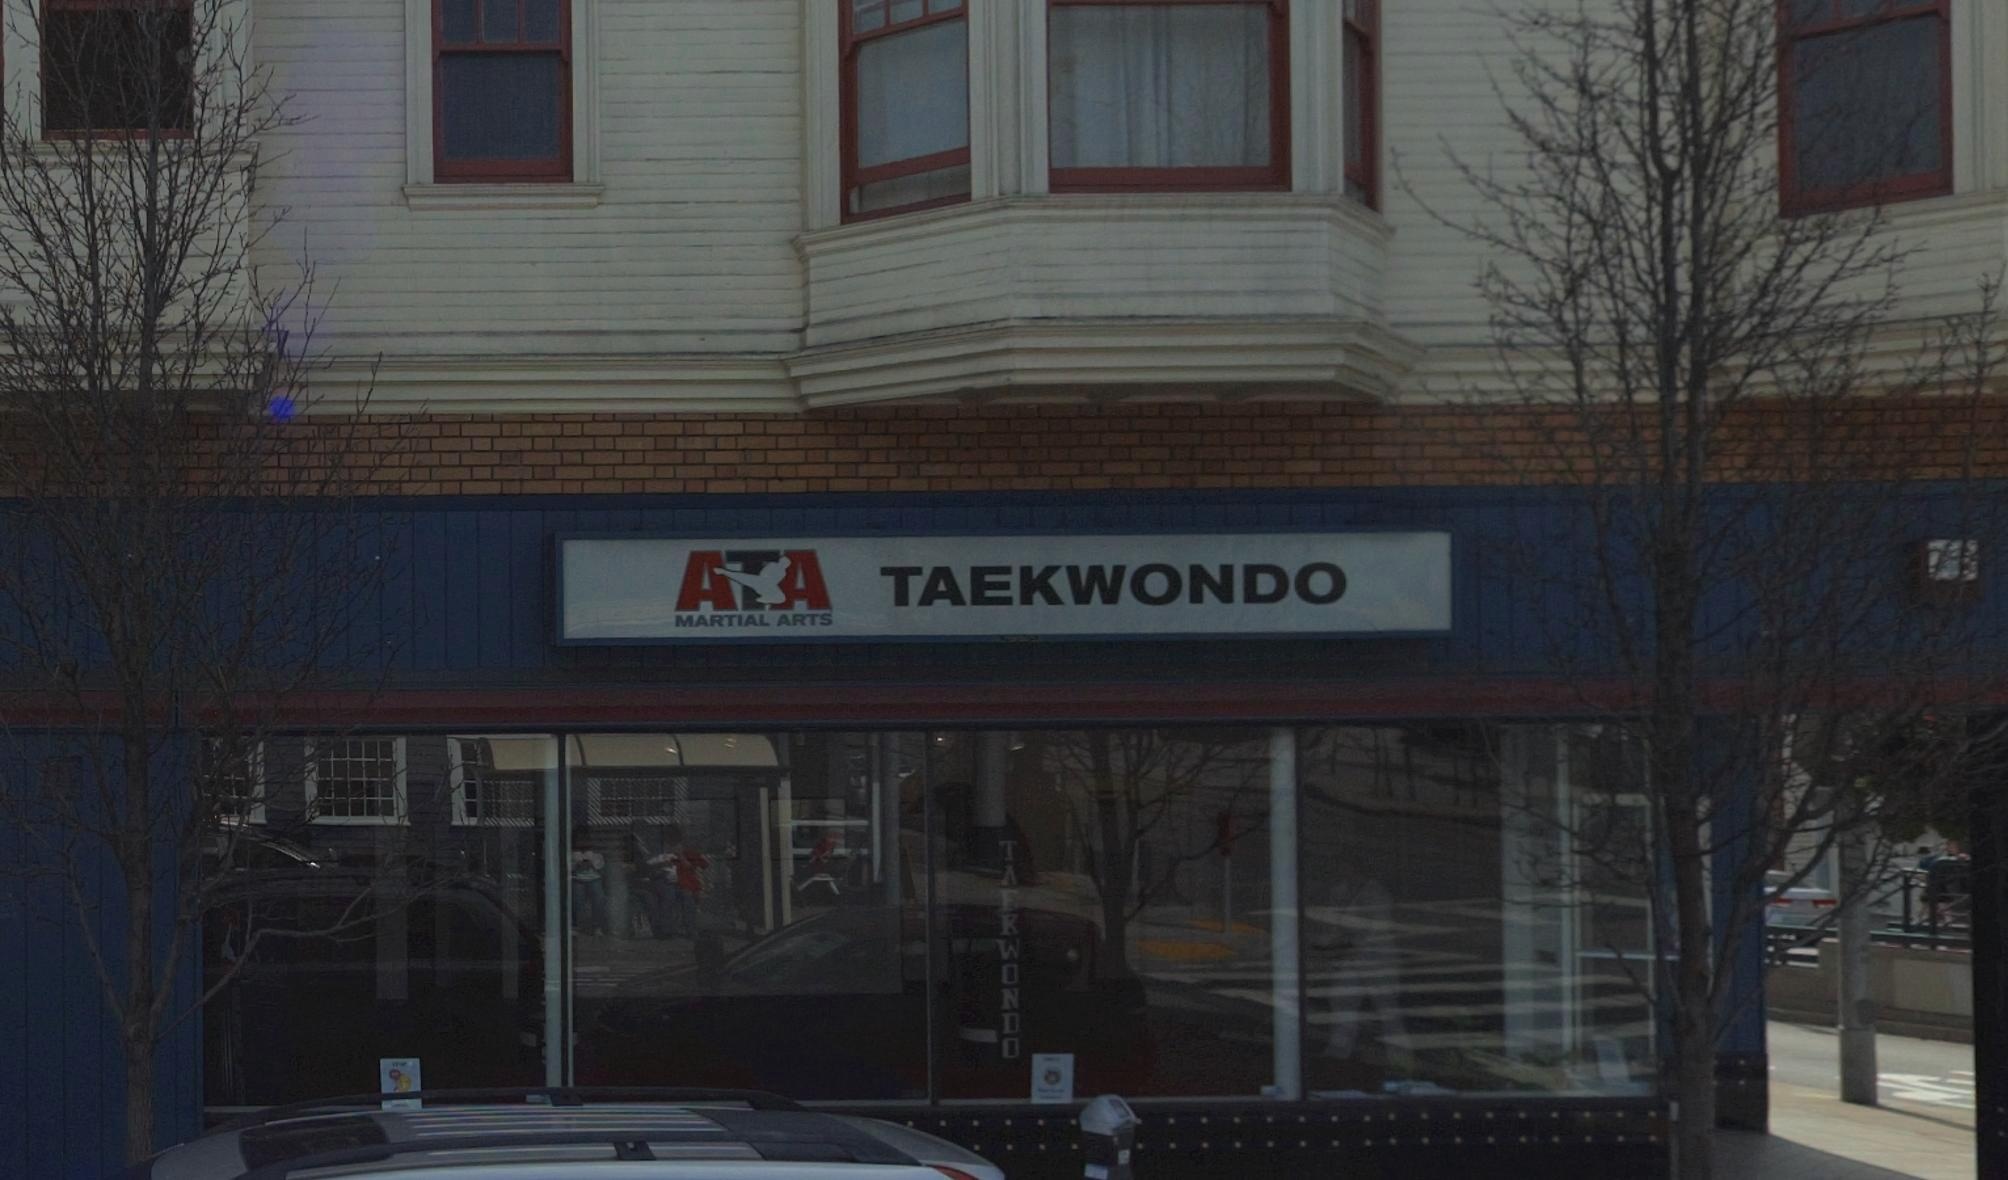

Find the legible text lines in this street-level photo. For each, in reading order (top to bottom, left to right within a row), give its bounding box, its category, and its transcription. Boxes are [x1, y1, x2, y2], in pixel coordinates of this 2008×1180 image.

[674, 549, 833, 612] BusinessName: AA
[878, 562, 1348, 607] None: TAEKWONDO
[675, 612, 833, 628] BusinessName: MARTIAL ARTS
[997, 838, 1021, 1060] None: TAEKWONDO